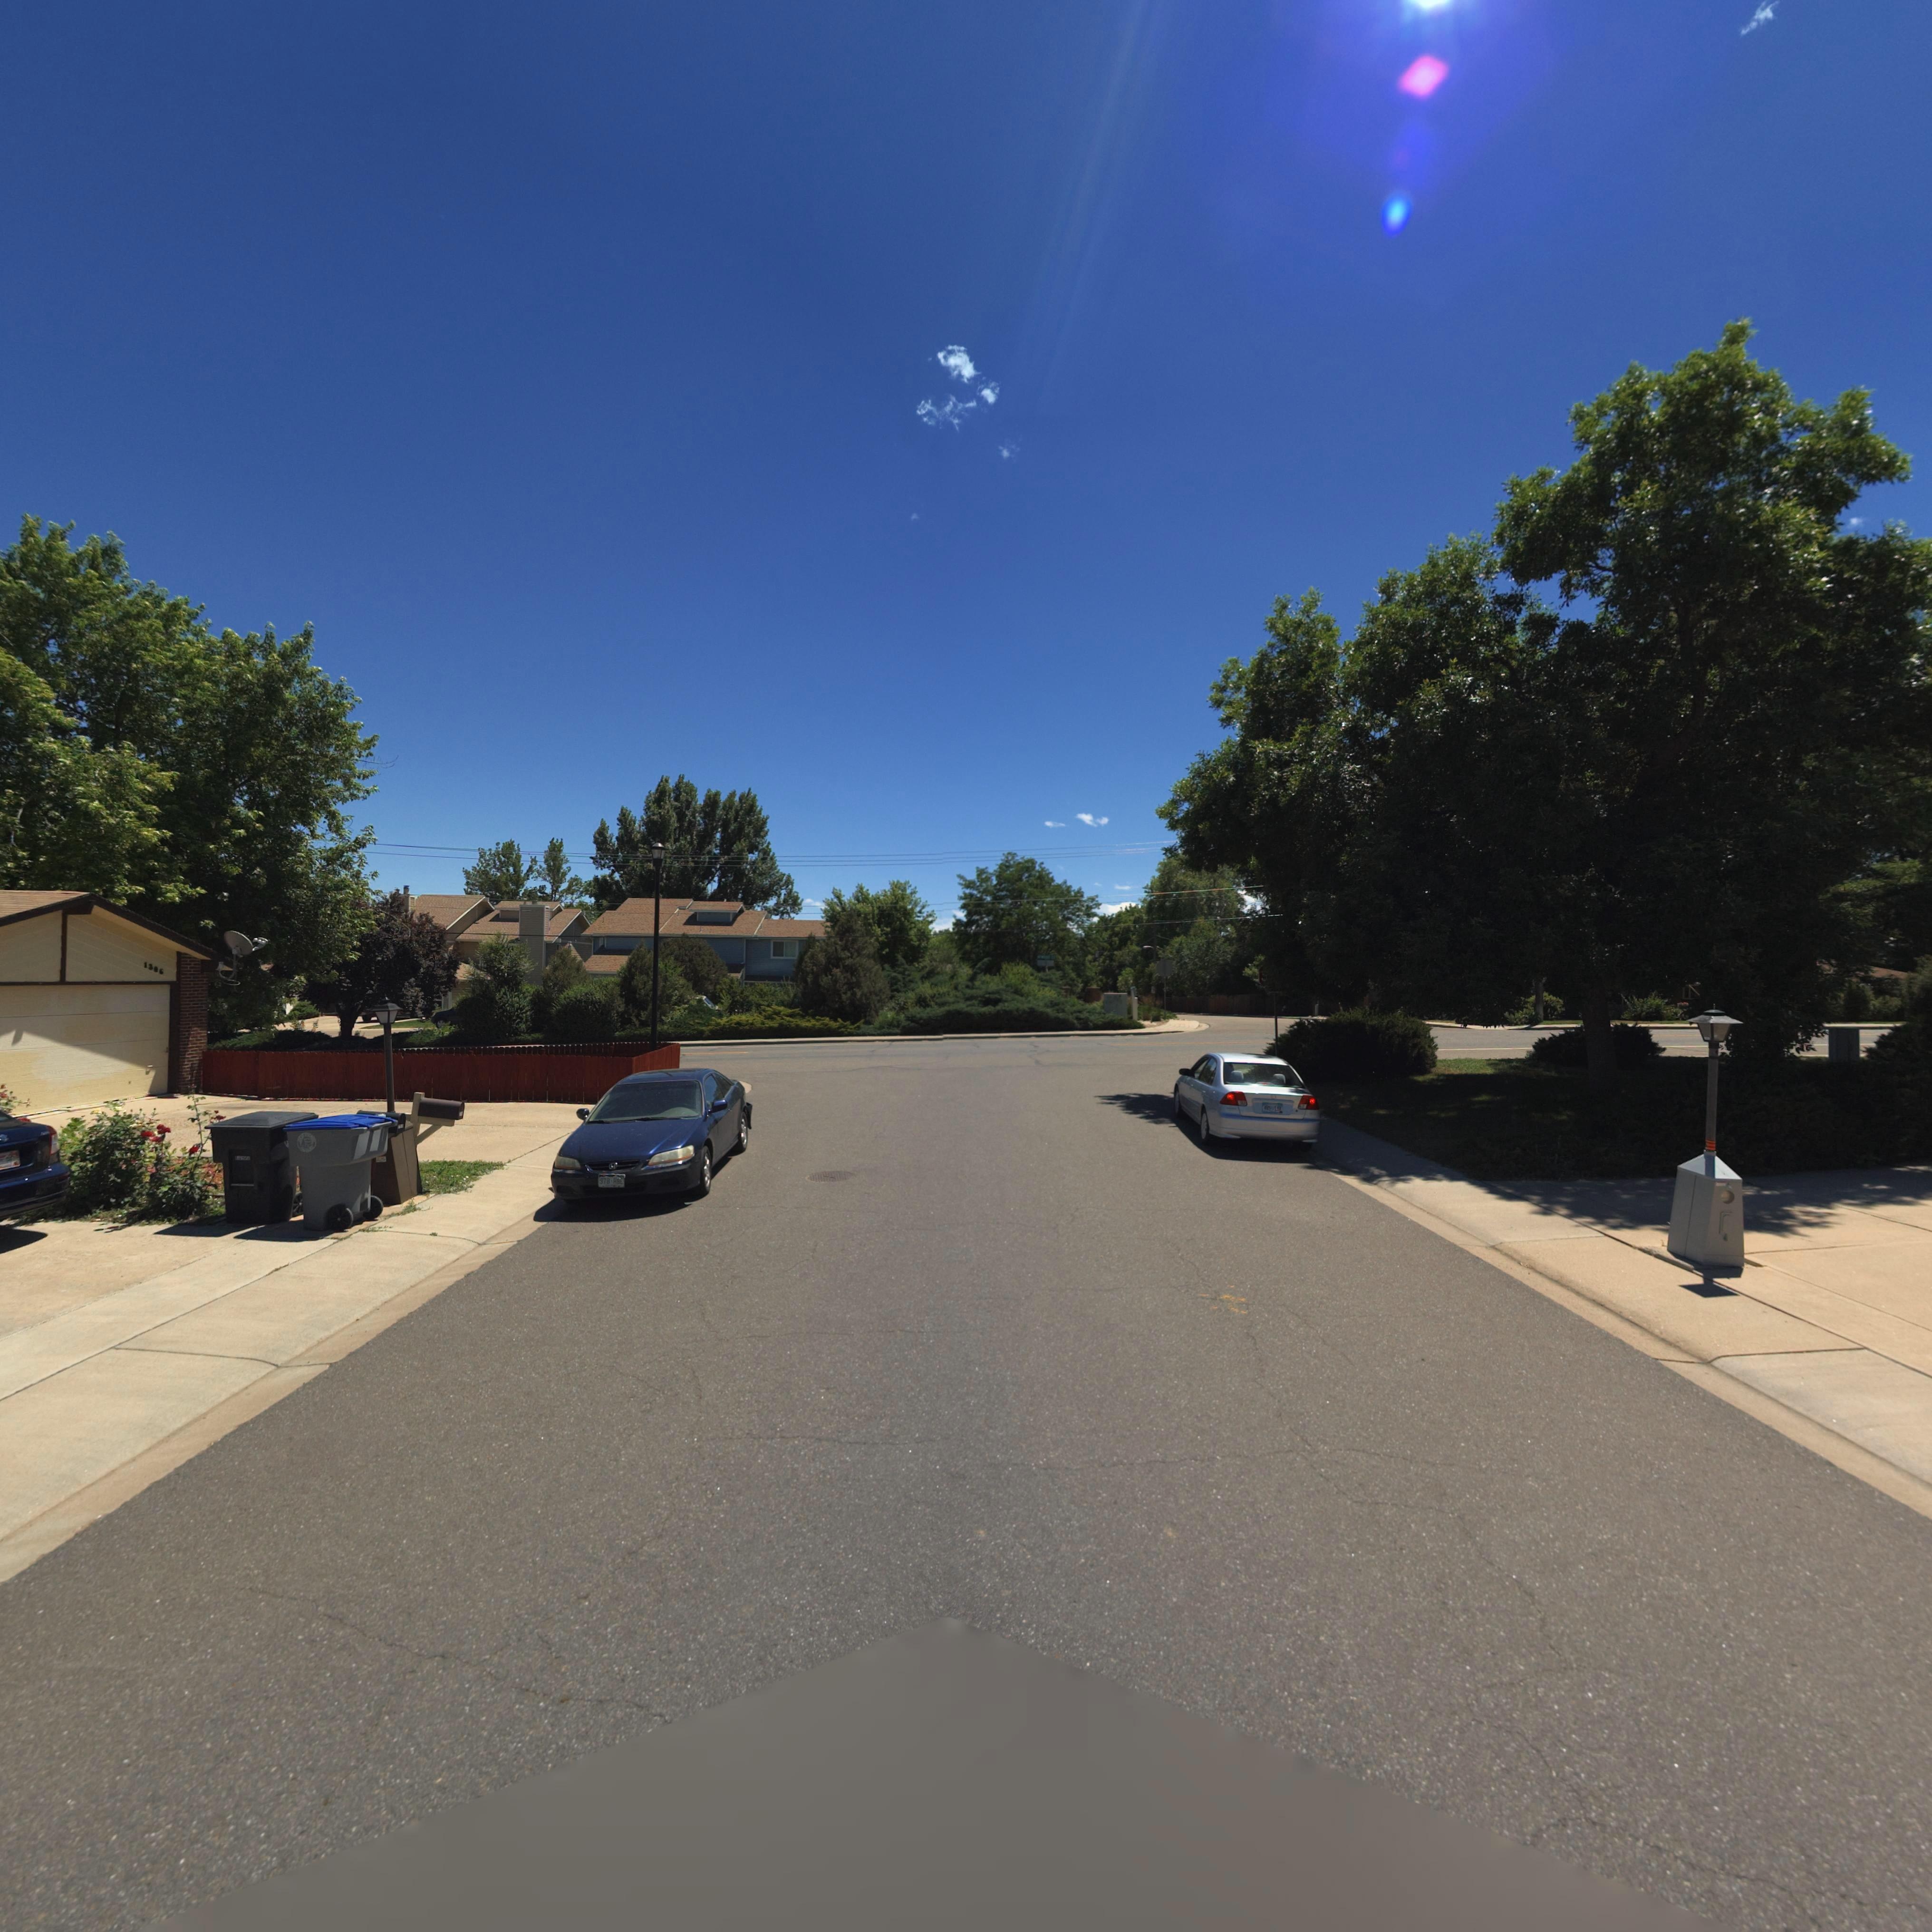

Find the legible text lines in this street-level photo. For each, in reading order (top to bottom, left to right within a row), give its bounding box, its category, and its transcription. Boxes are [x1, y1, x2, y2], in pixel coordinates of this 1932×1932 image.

[144, 961, 164, 976] StreetNumber: 1306